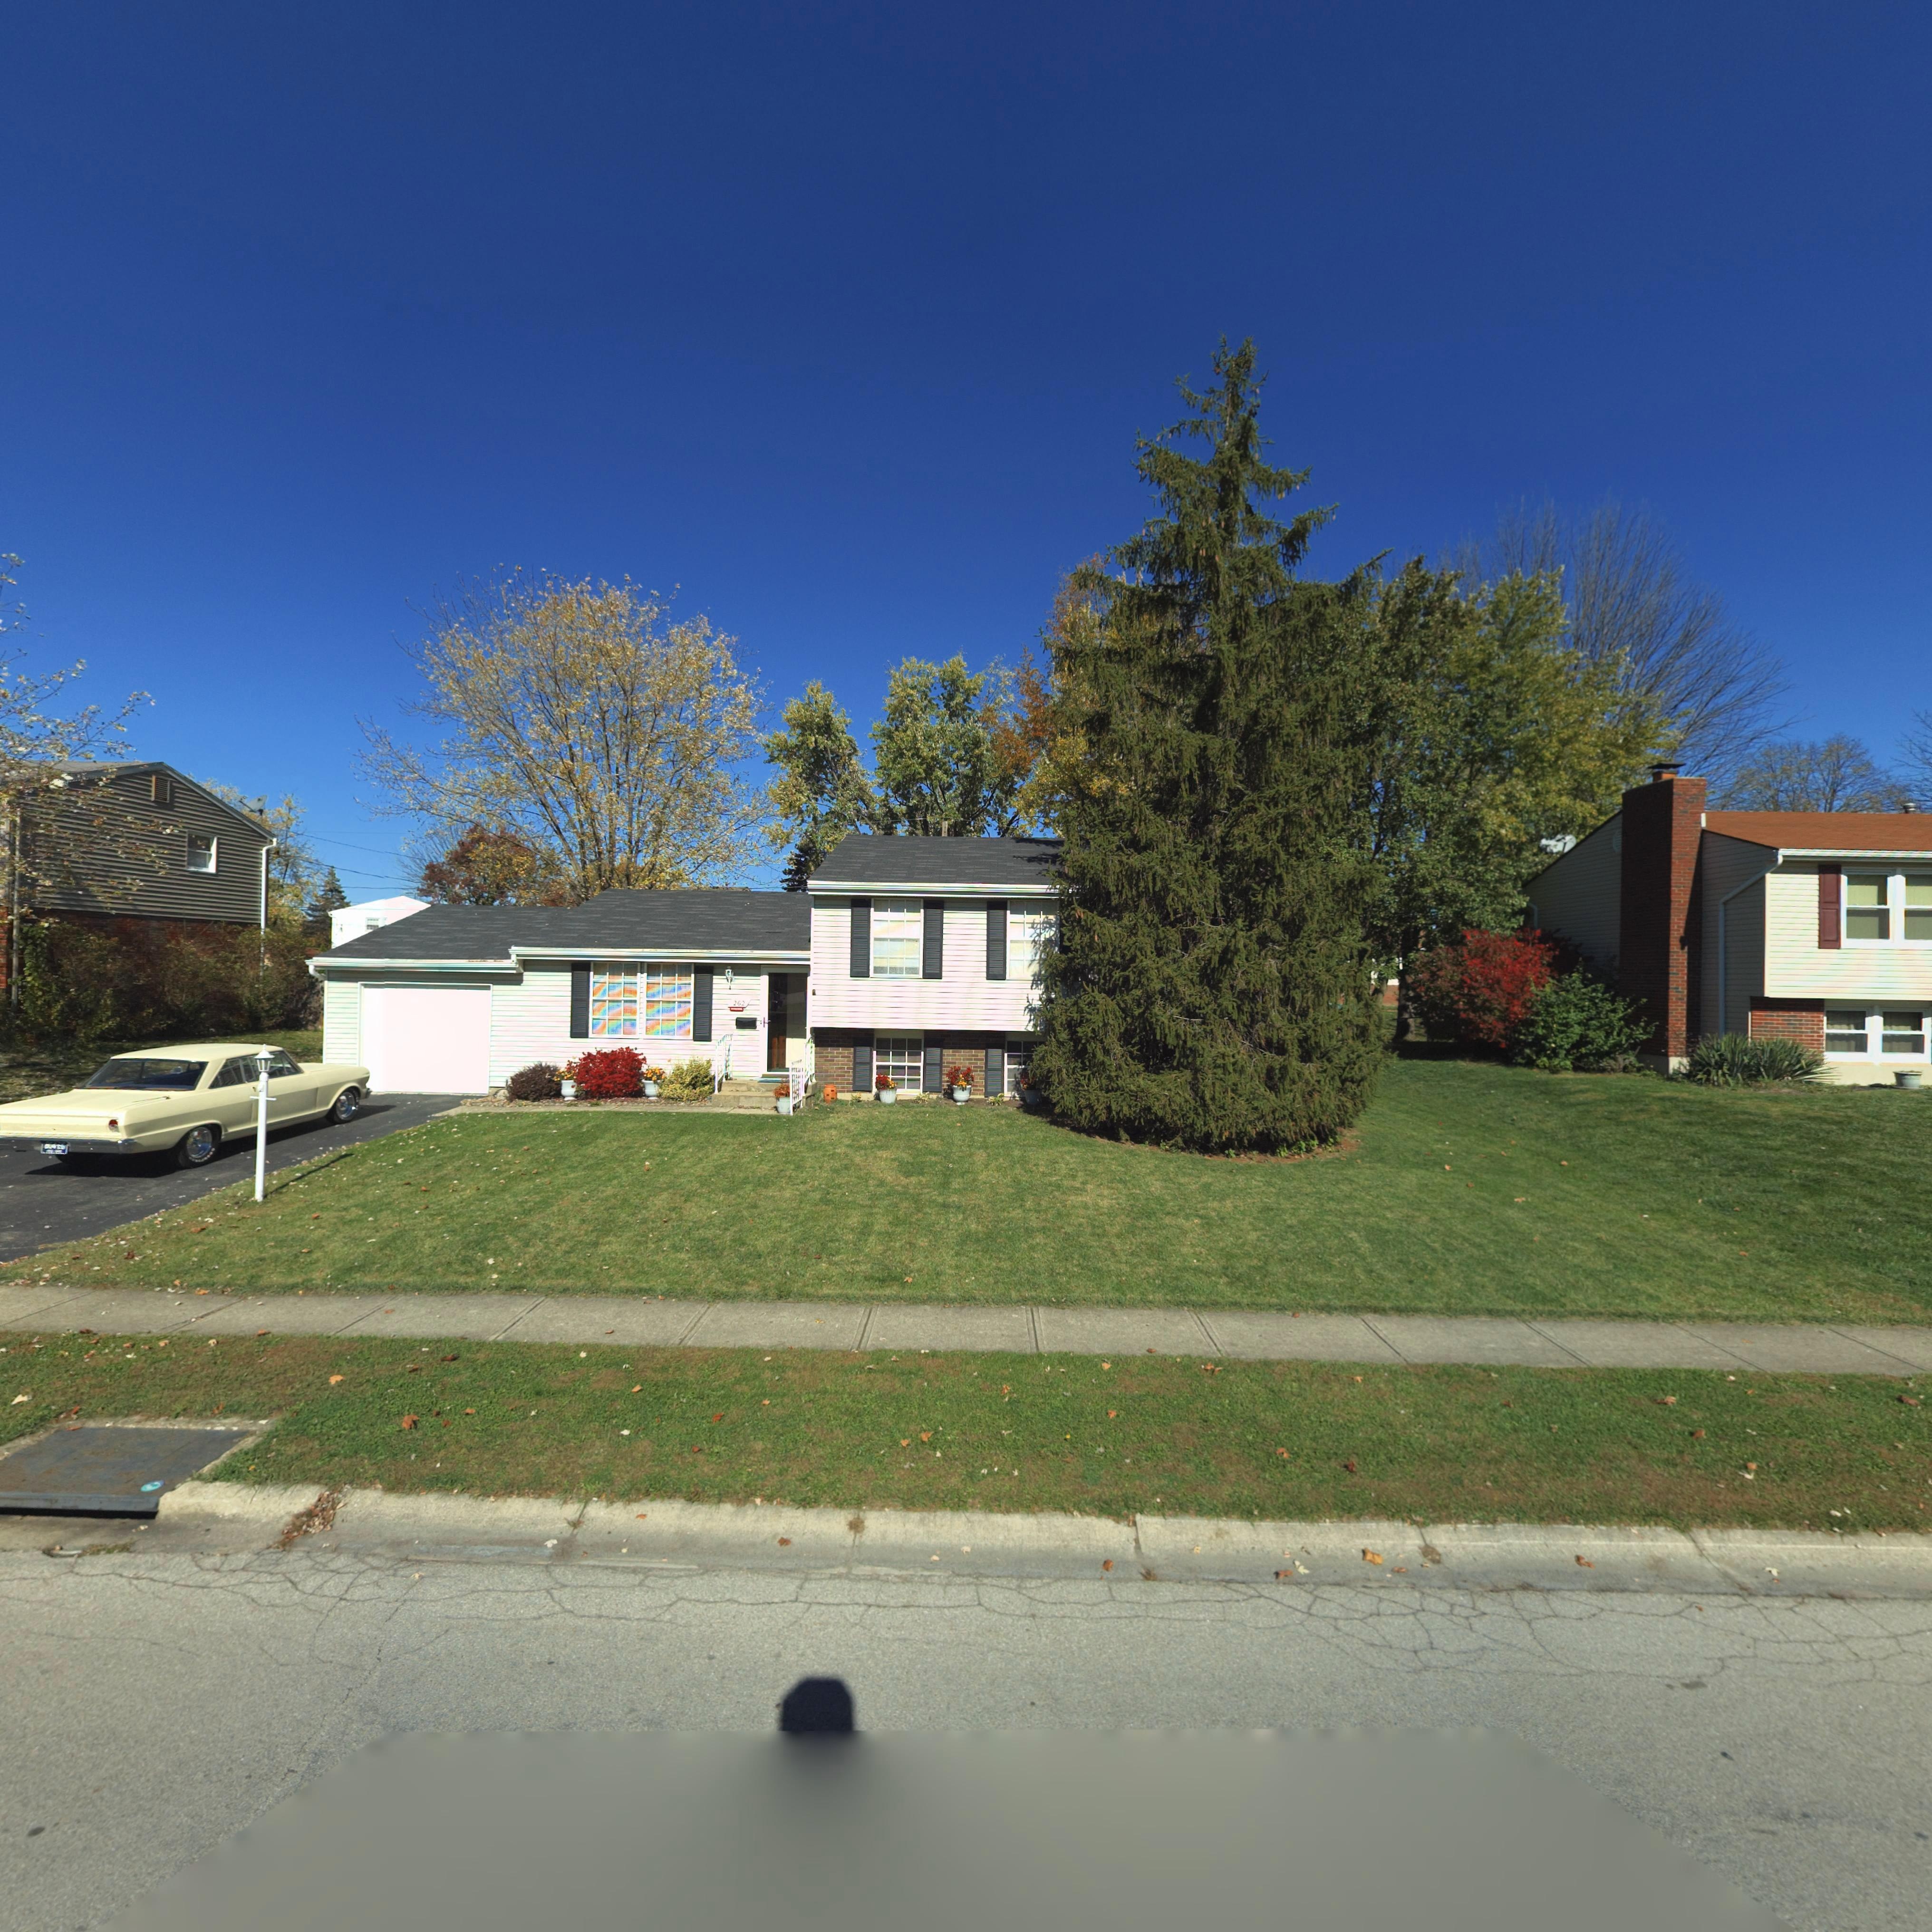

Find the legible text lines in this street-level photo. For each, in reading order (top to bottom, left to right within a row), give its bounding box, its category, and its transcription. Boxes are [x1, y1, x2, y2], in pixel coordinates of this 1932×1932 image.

[732, 999, 746, 1007] StreetNumber: 262